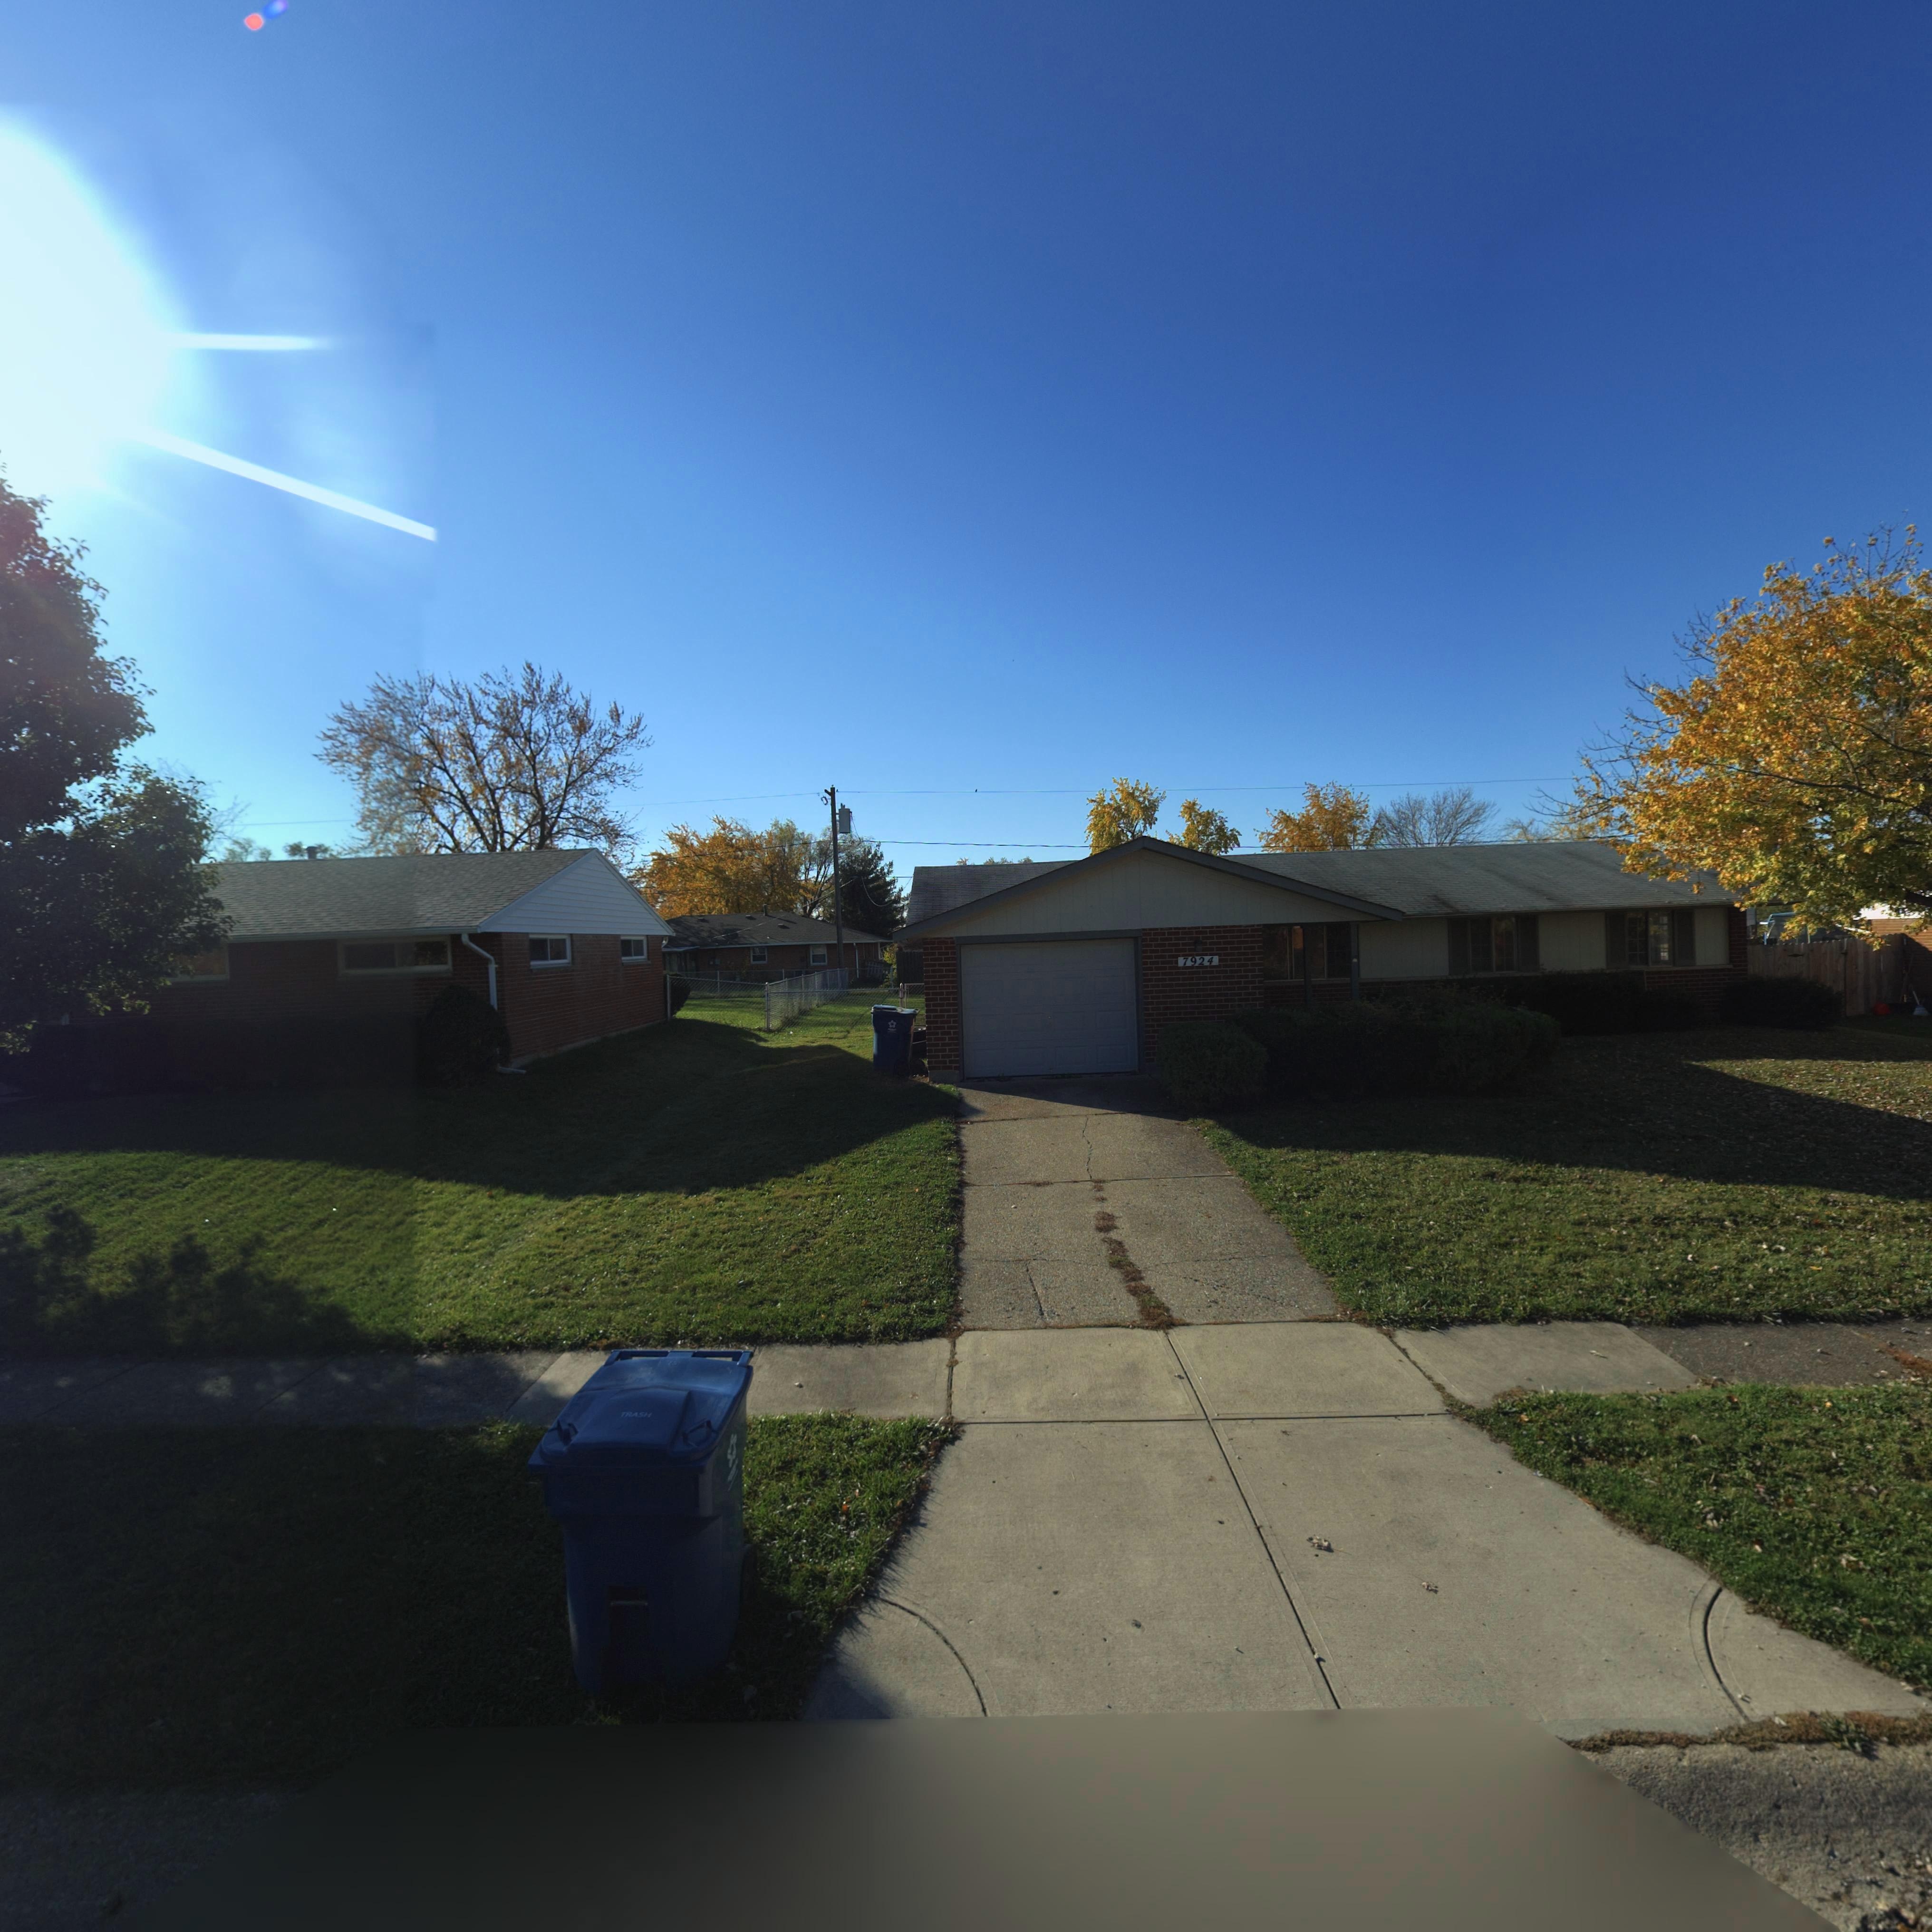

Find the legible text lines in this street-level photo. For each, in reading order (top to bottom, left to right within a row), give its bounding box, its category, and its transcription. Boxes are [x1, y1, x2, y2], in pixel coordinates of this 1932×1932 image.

[1181, 956, 1215, 967] StreetNumber: 7924